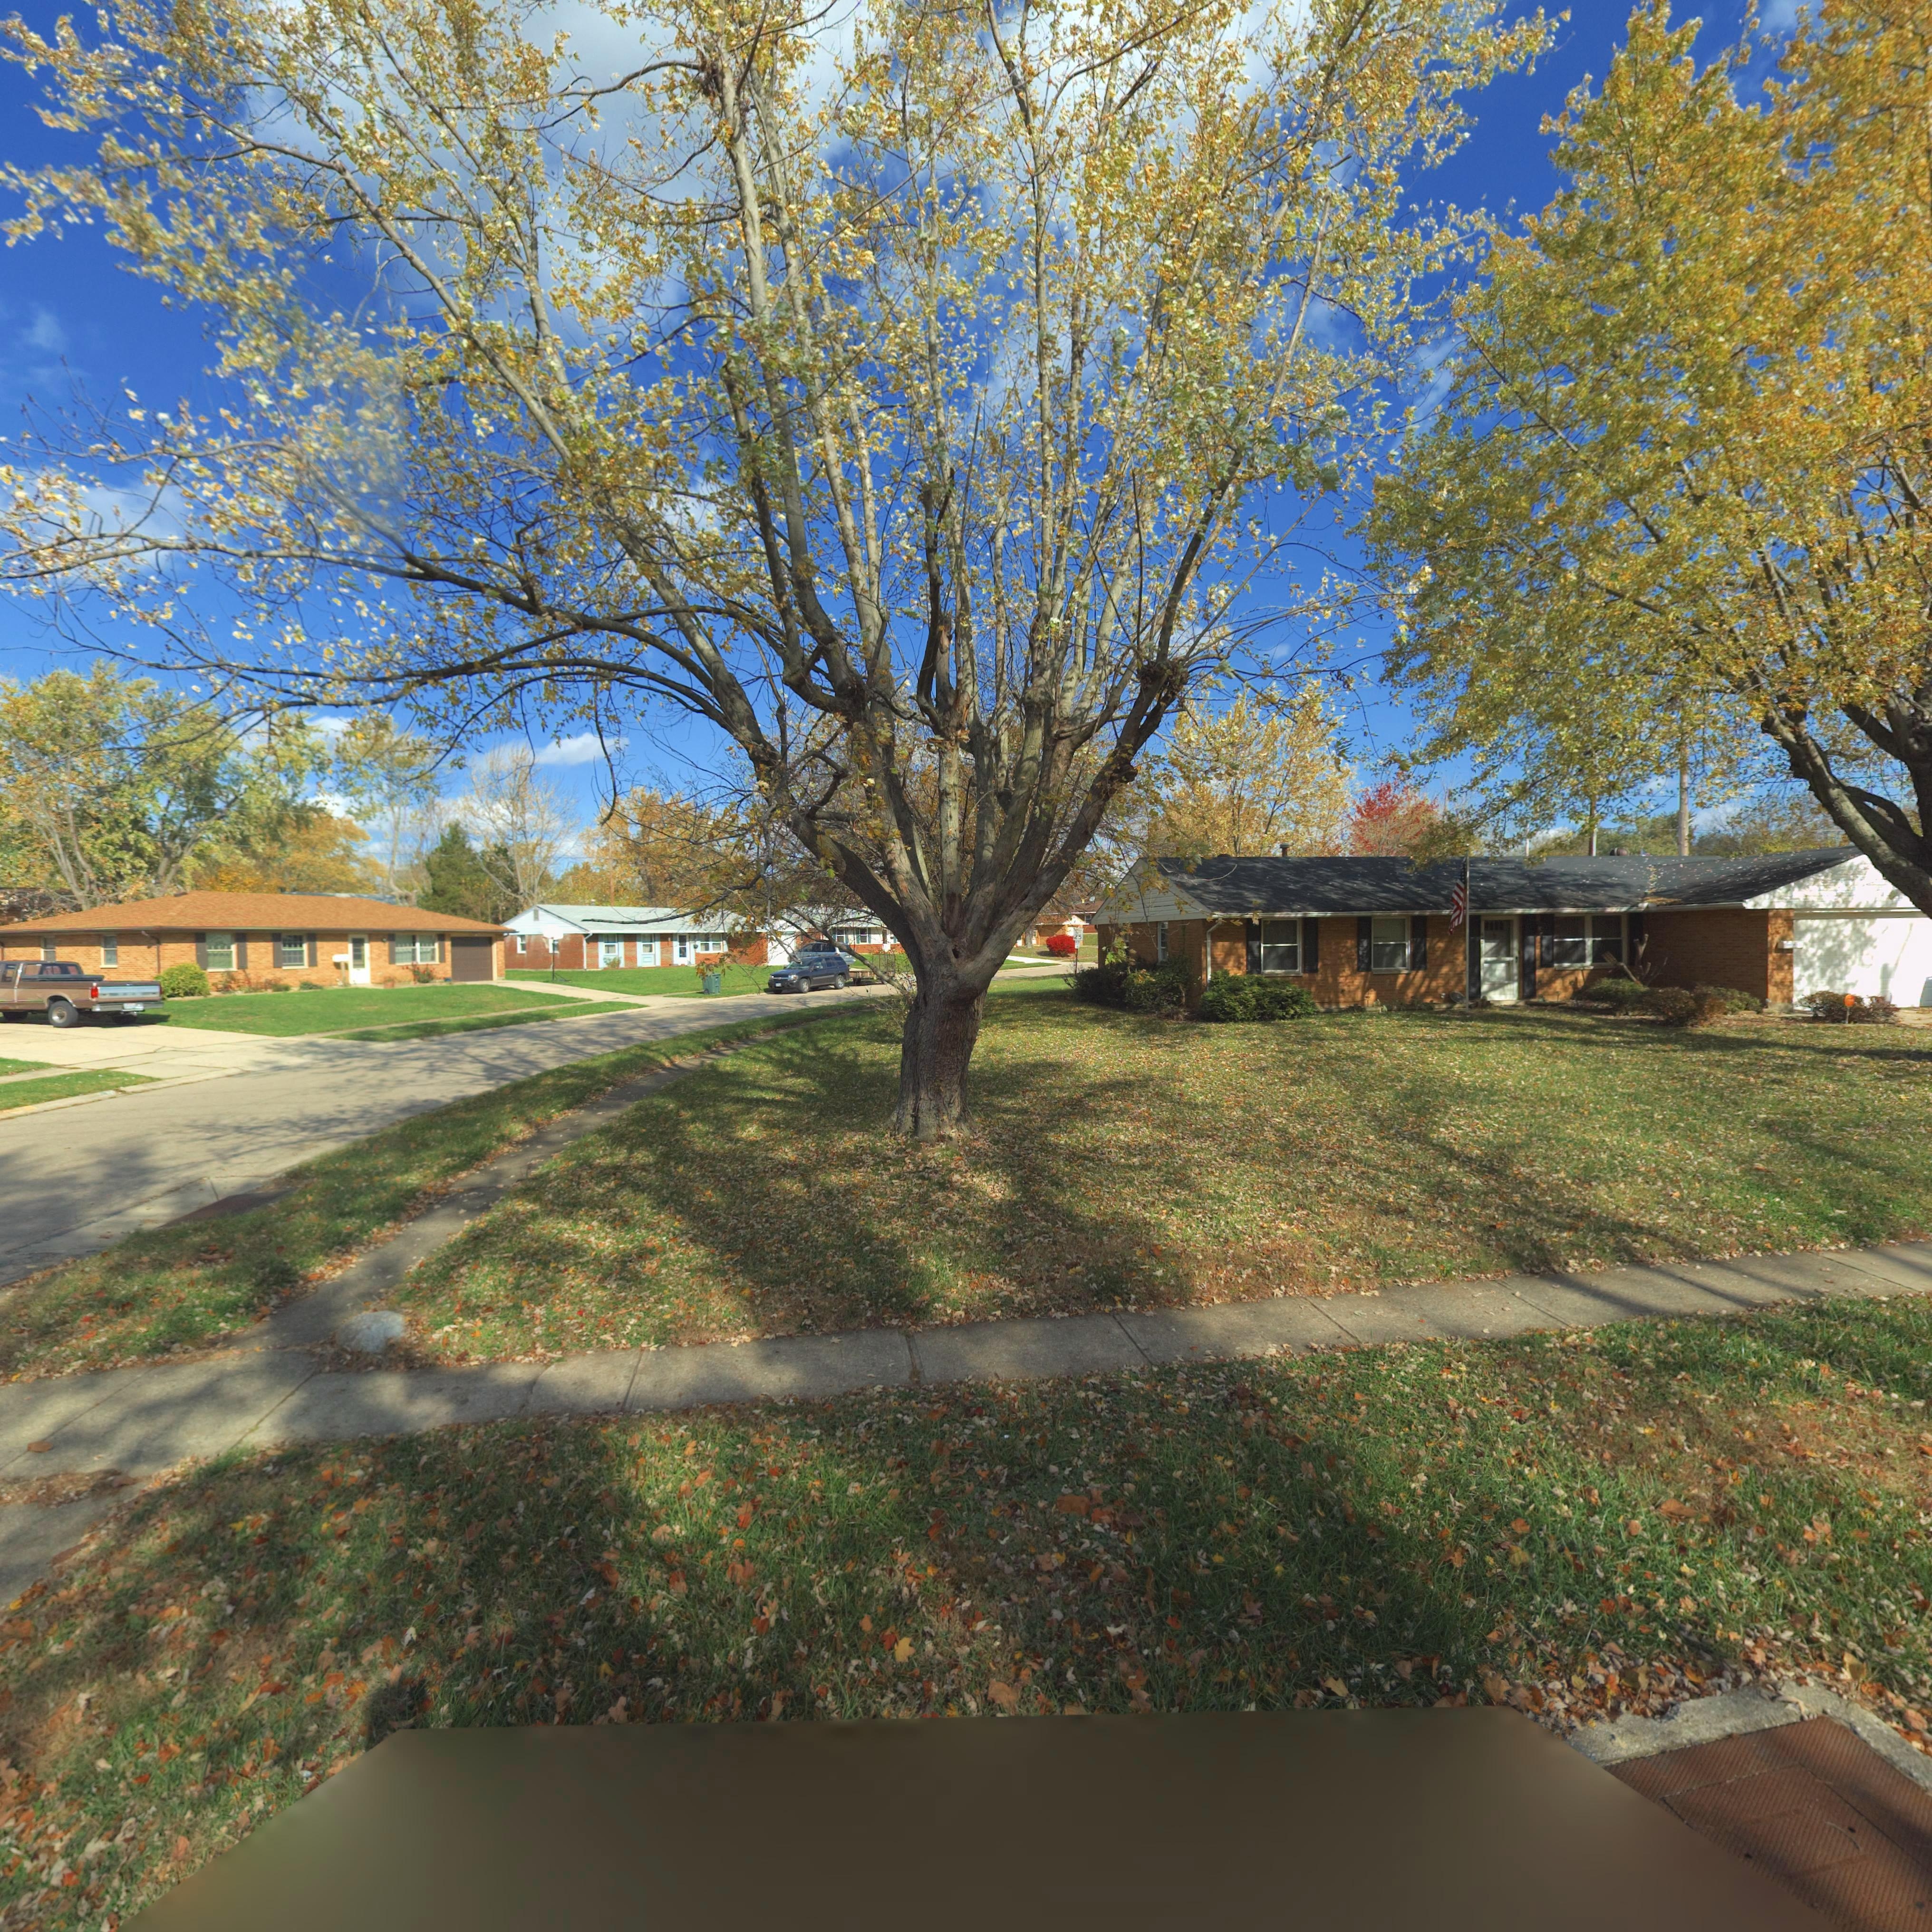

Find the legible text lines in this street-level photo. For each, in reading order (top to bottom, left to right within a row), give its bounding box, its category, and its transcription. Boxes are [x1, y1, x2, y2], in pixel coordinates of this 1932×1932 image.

[1480, 931, 1484, 949] StreetNumber: 6401